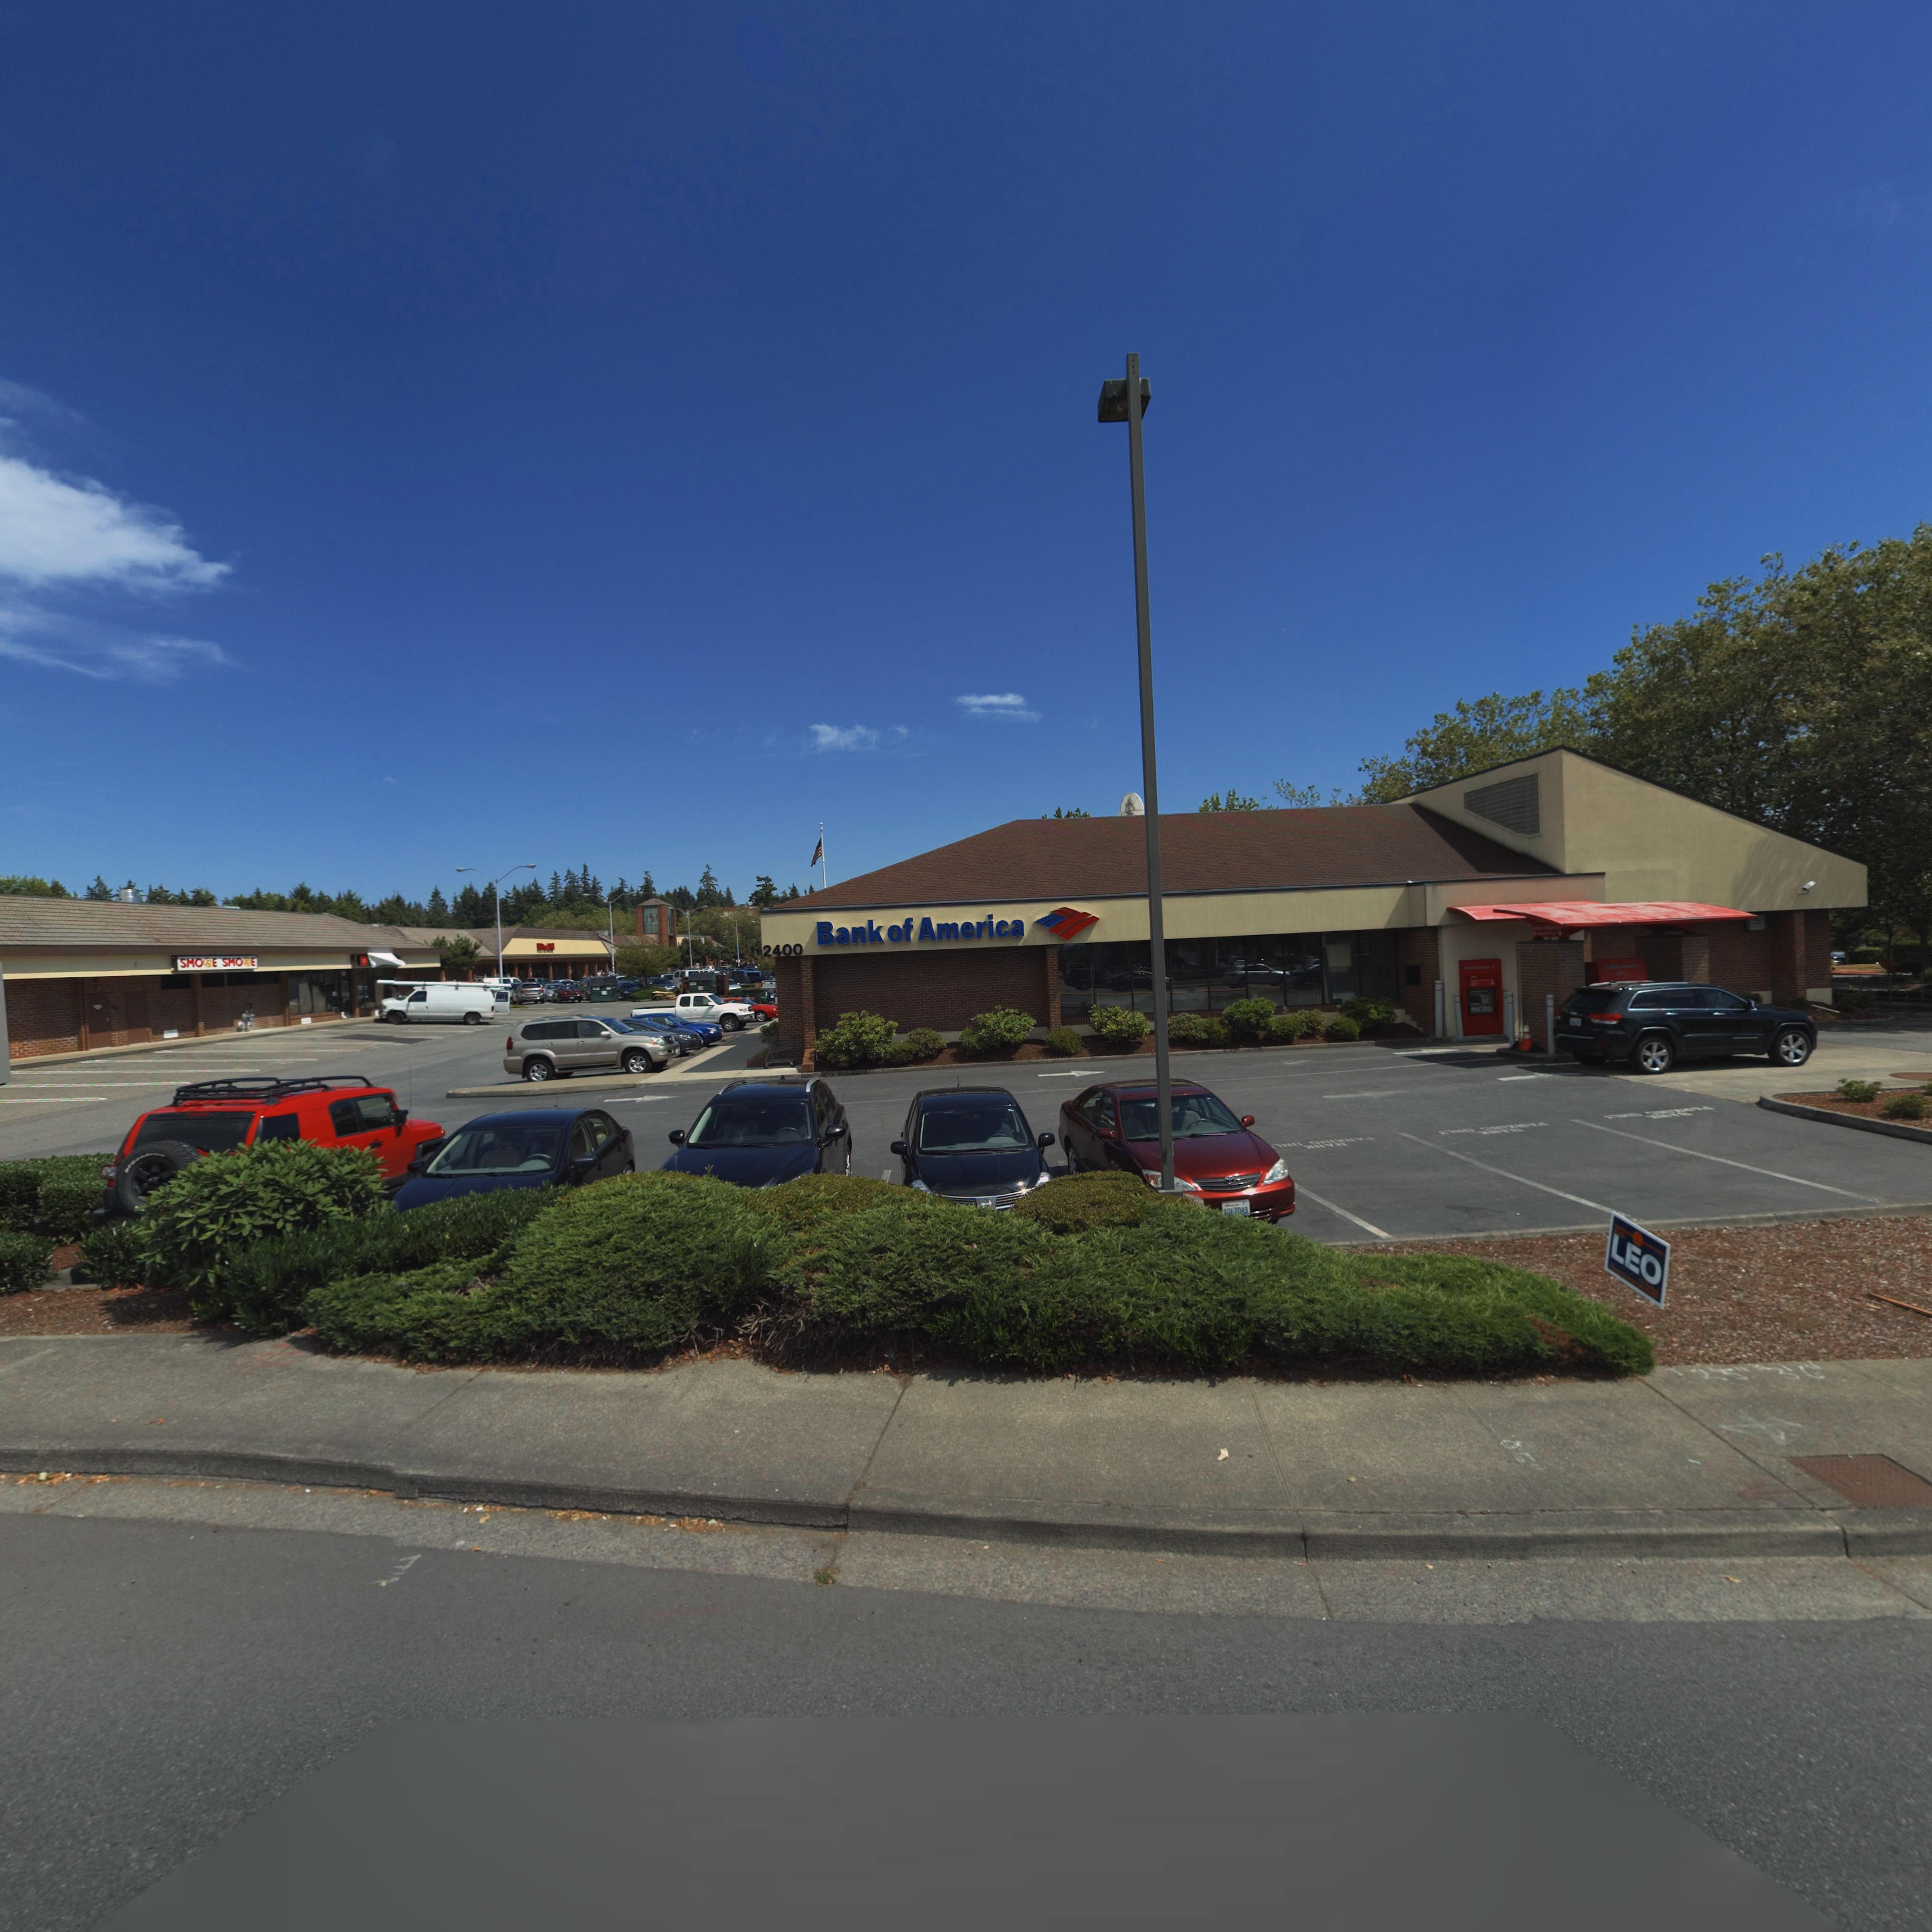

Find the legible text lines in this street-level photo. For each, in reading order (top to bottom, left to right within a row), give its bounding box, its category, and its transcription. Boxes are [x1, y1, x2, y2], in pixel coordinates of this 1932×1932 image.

[763, 944, 802, 958] StreetNumber: 2400